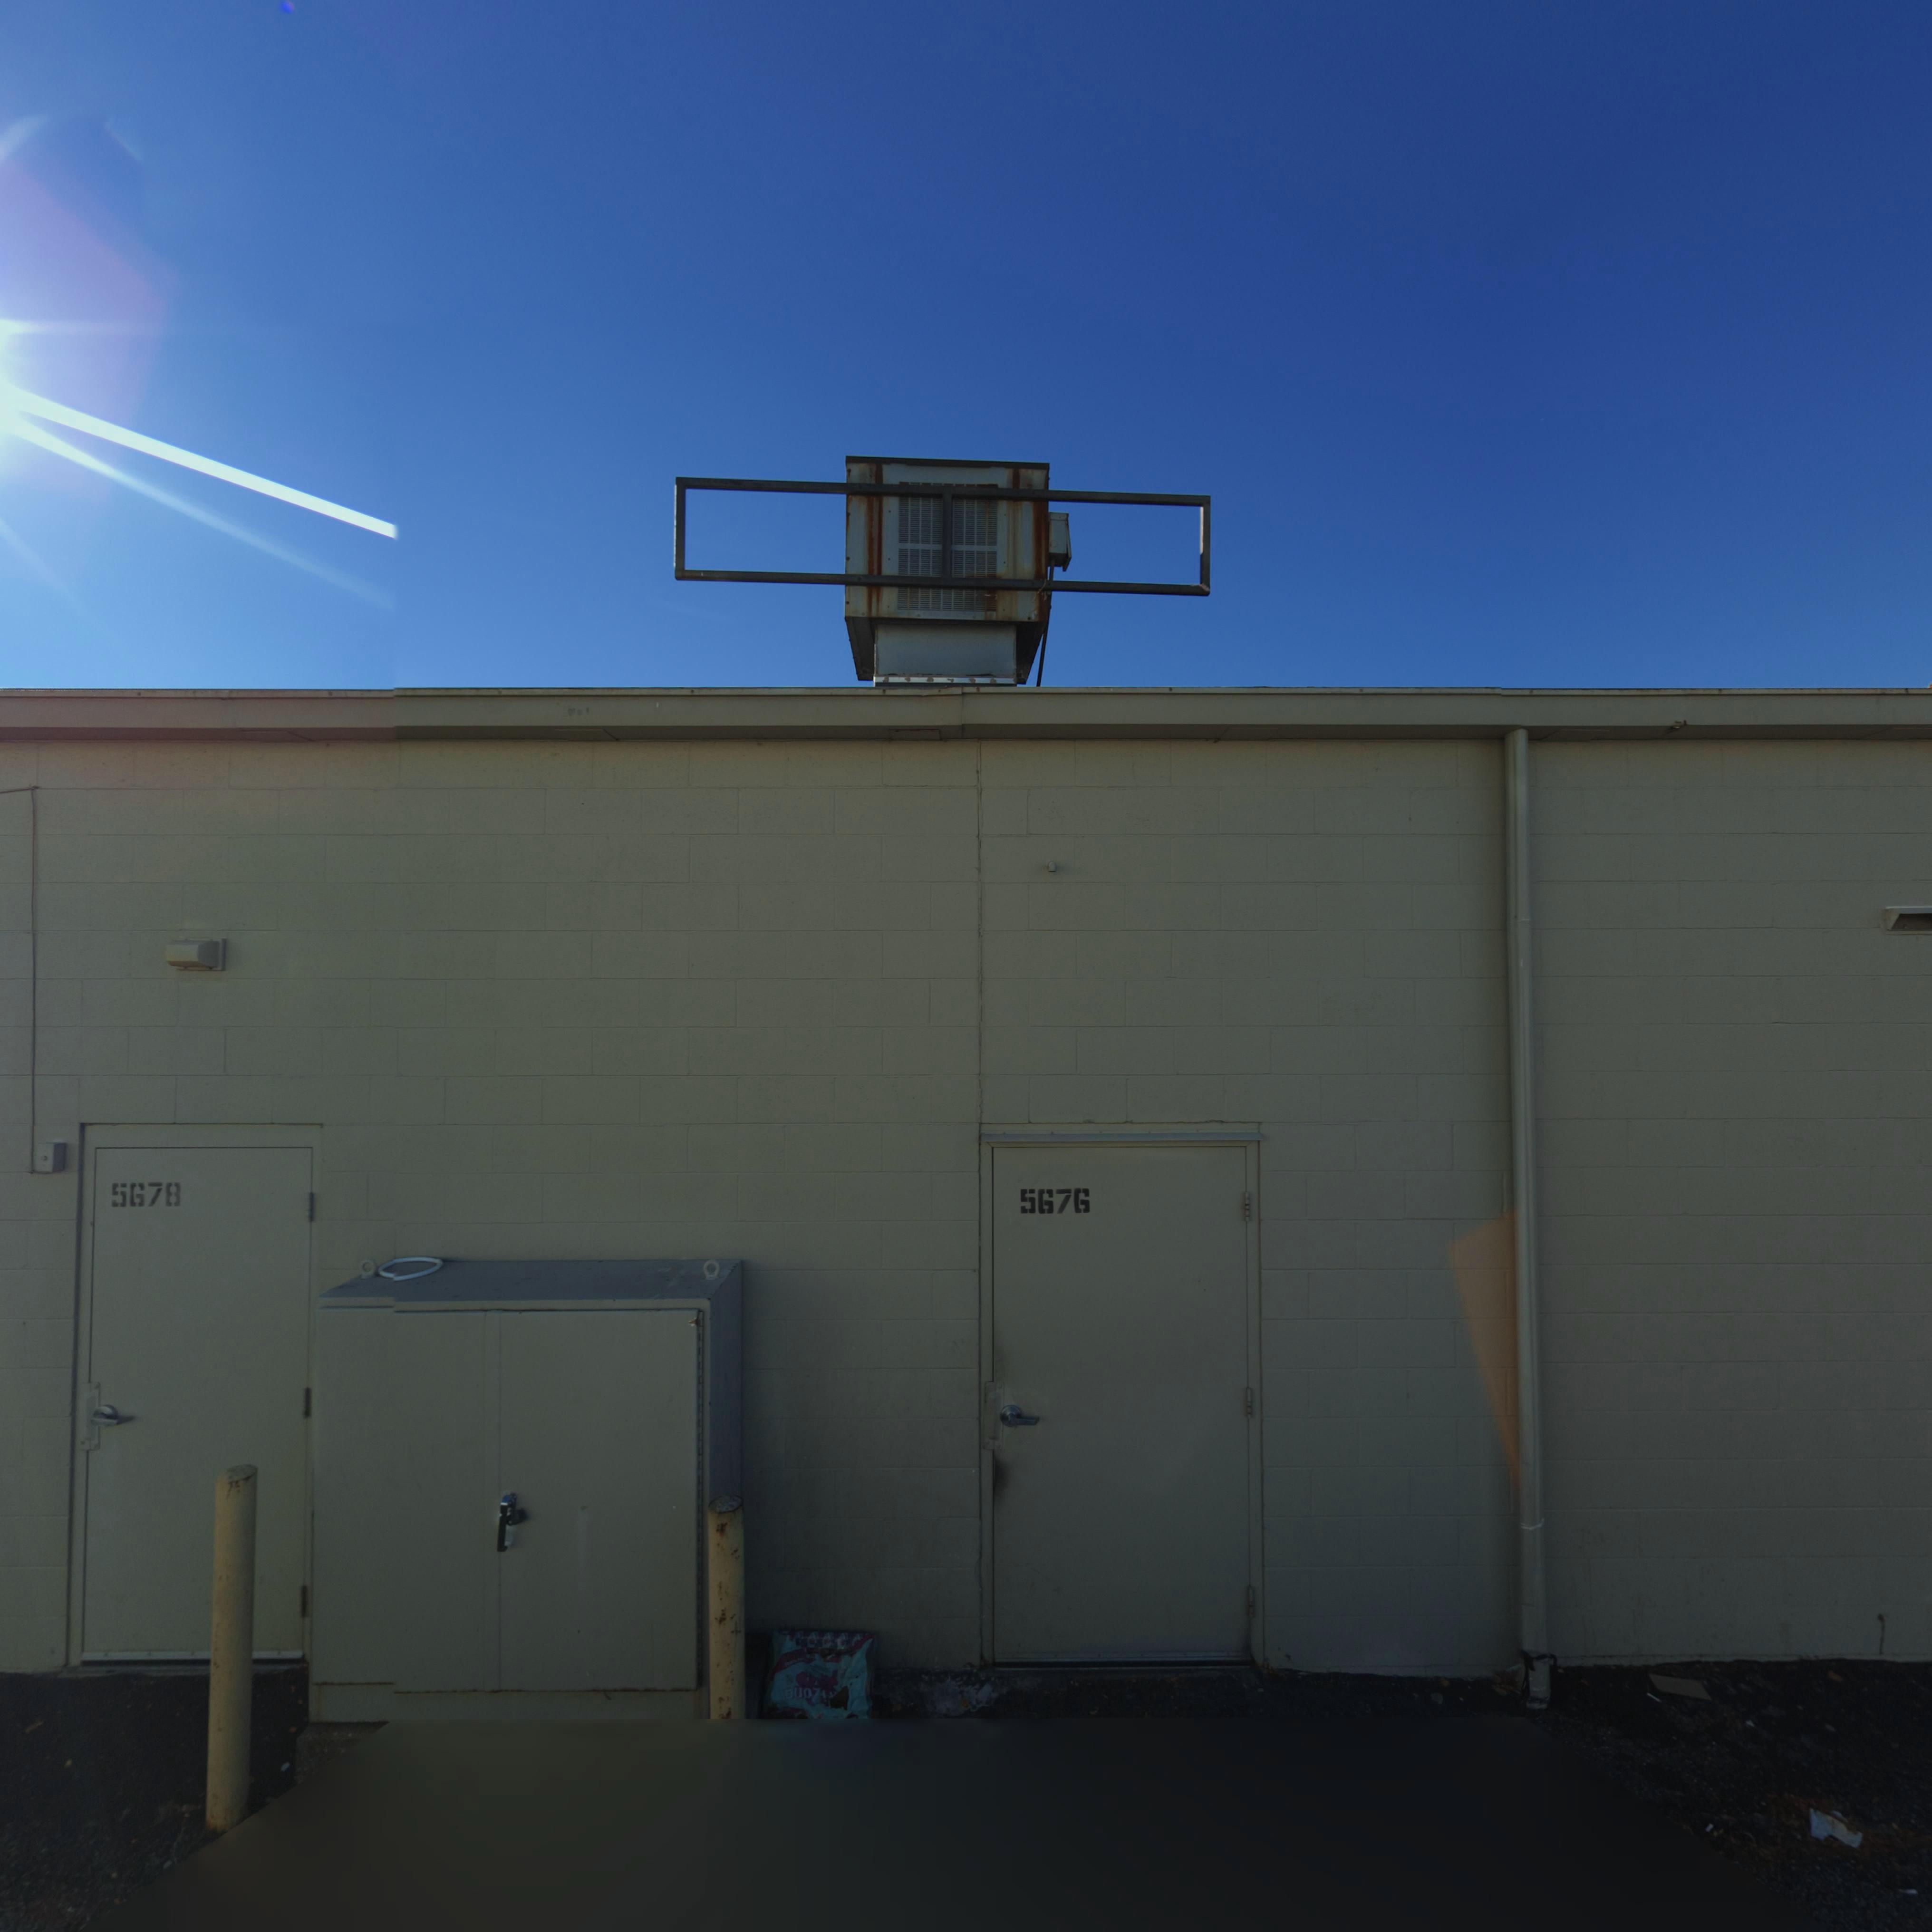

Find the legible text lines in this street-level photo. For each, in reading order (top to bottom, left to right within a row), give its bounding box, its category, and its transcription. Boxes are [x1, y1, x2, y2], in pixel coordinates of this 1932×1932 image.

[110, 1181, 181, 1208] StreetNumber: 5678
[1020, 1188, 1091, 1215] StreetNumber: 5676